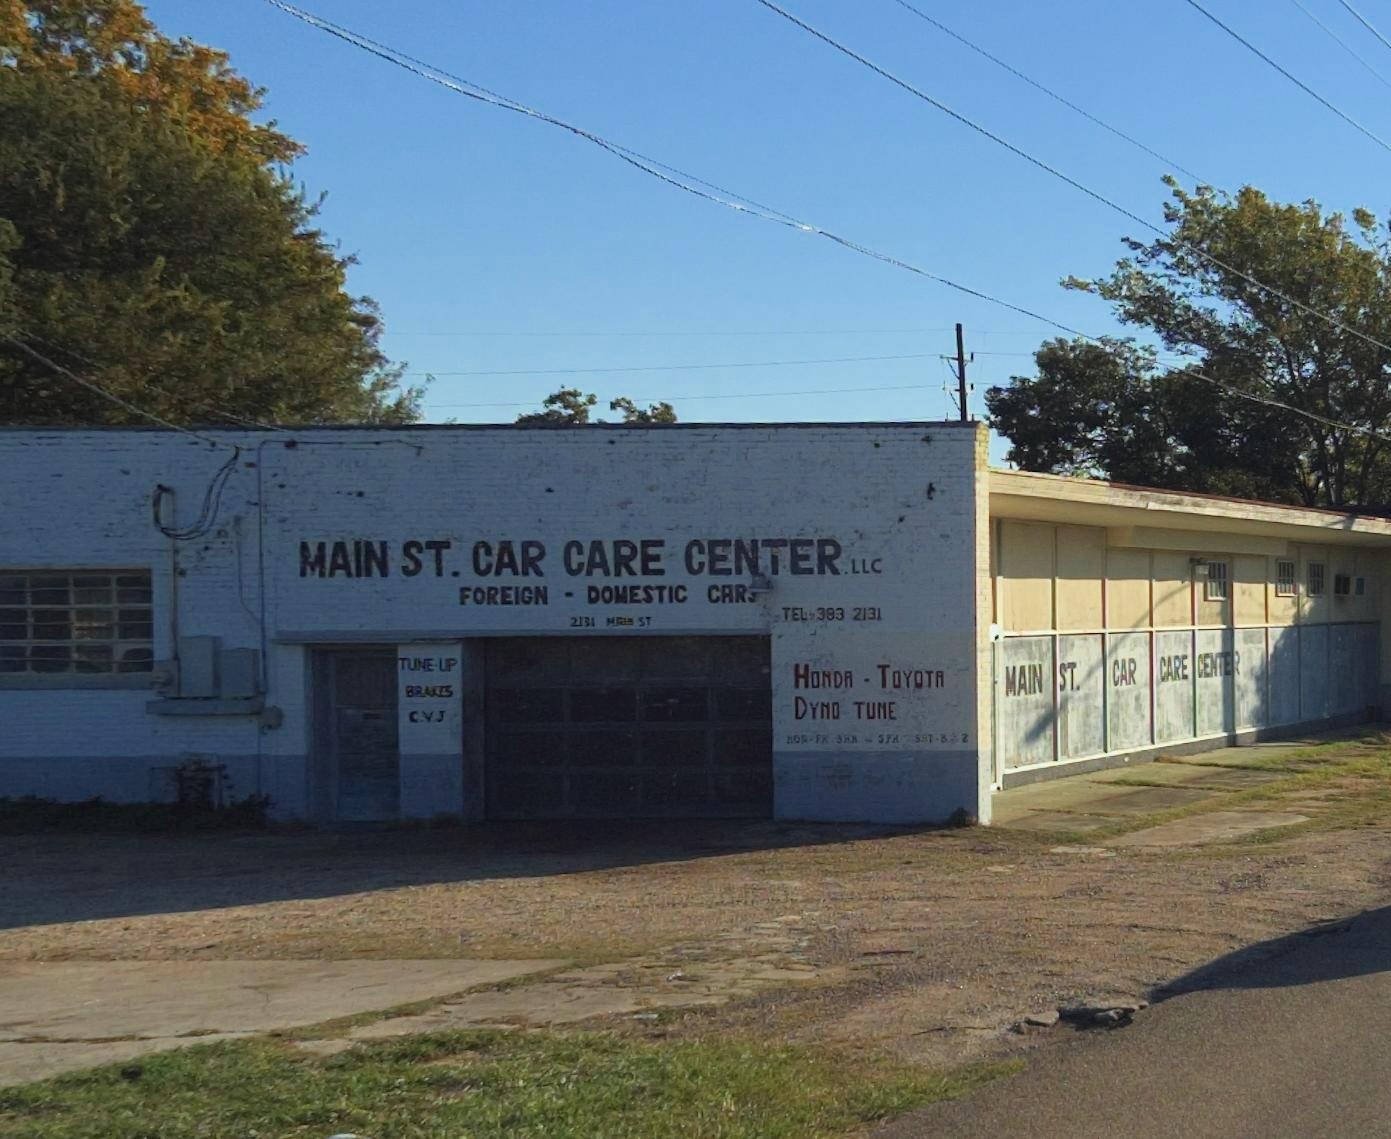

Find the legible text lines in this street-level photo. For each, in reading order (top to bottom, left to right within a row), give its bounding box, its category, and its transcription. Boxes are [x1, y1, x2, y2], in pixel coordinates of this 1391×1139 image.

[295, 535, 887, 580] BusinessName: MAIN ST. CAR CARE CENTER.LLC
[457, 583, 759, 607] None: FOREIGN-DOMESTIC CARS
[568, 613, 599, 629] StreetNumber: 2131
[603, 613, 652, 628] StreetName: MAIN ST
[778, 604, 883, 623] None: TEL 383 2131
[396, 656, 462, 674] None: TUNE-UP
[792, 660, 947, 691] None: HONDA-TOYOTA
[1003, 649, 1244, 700] BusinessName: MAIN ST. CAR CARE CENTE*
[403, 682, 455, 700] None: BRAKES
[406, 708, 449, 725] None: CVJ
[793, 694, 899, 723] None: DYNO TUNE